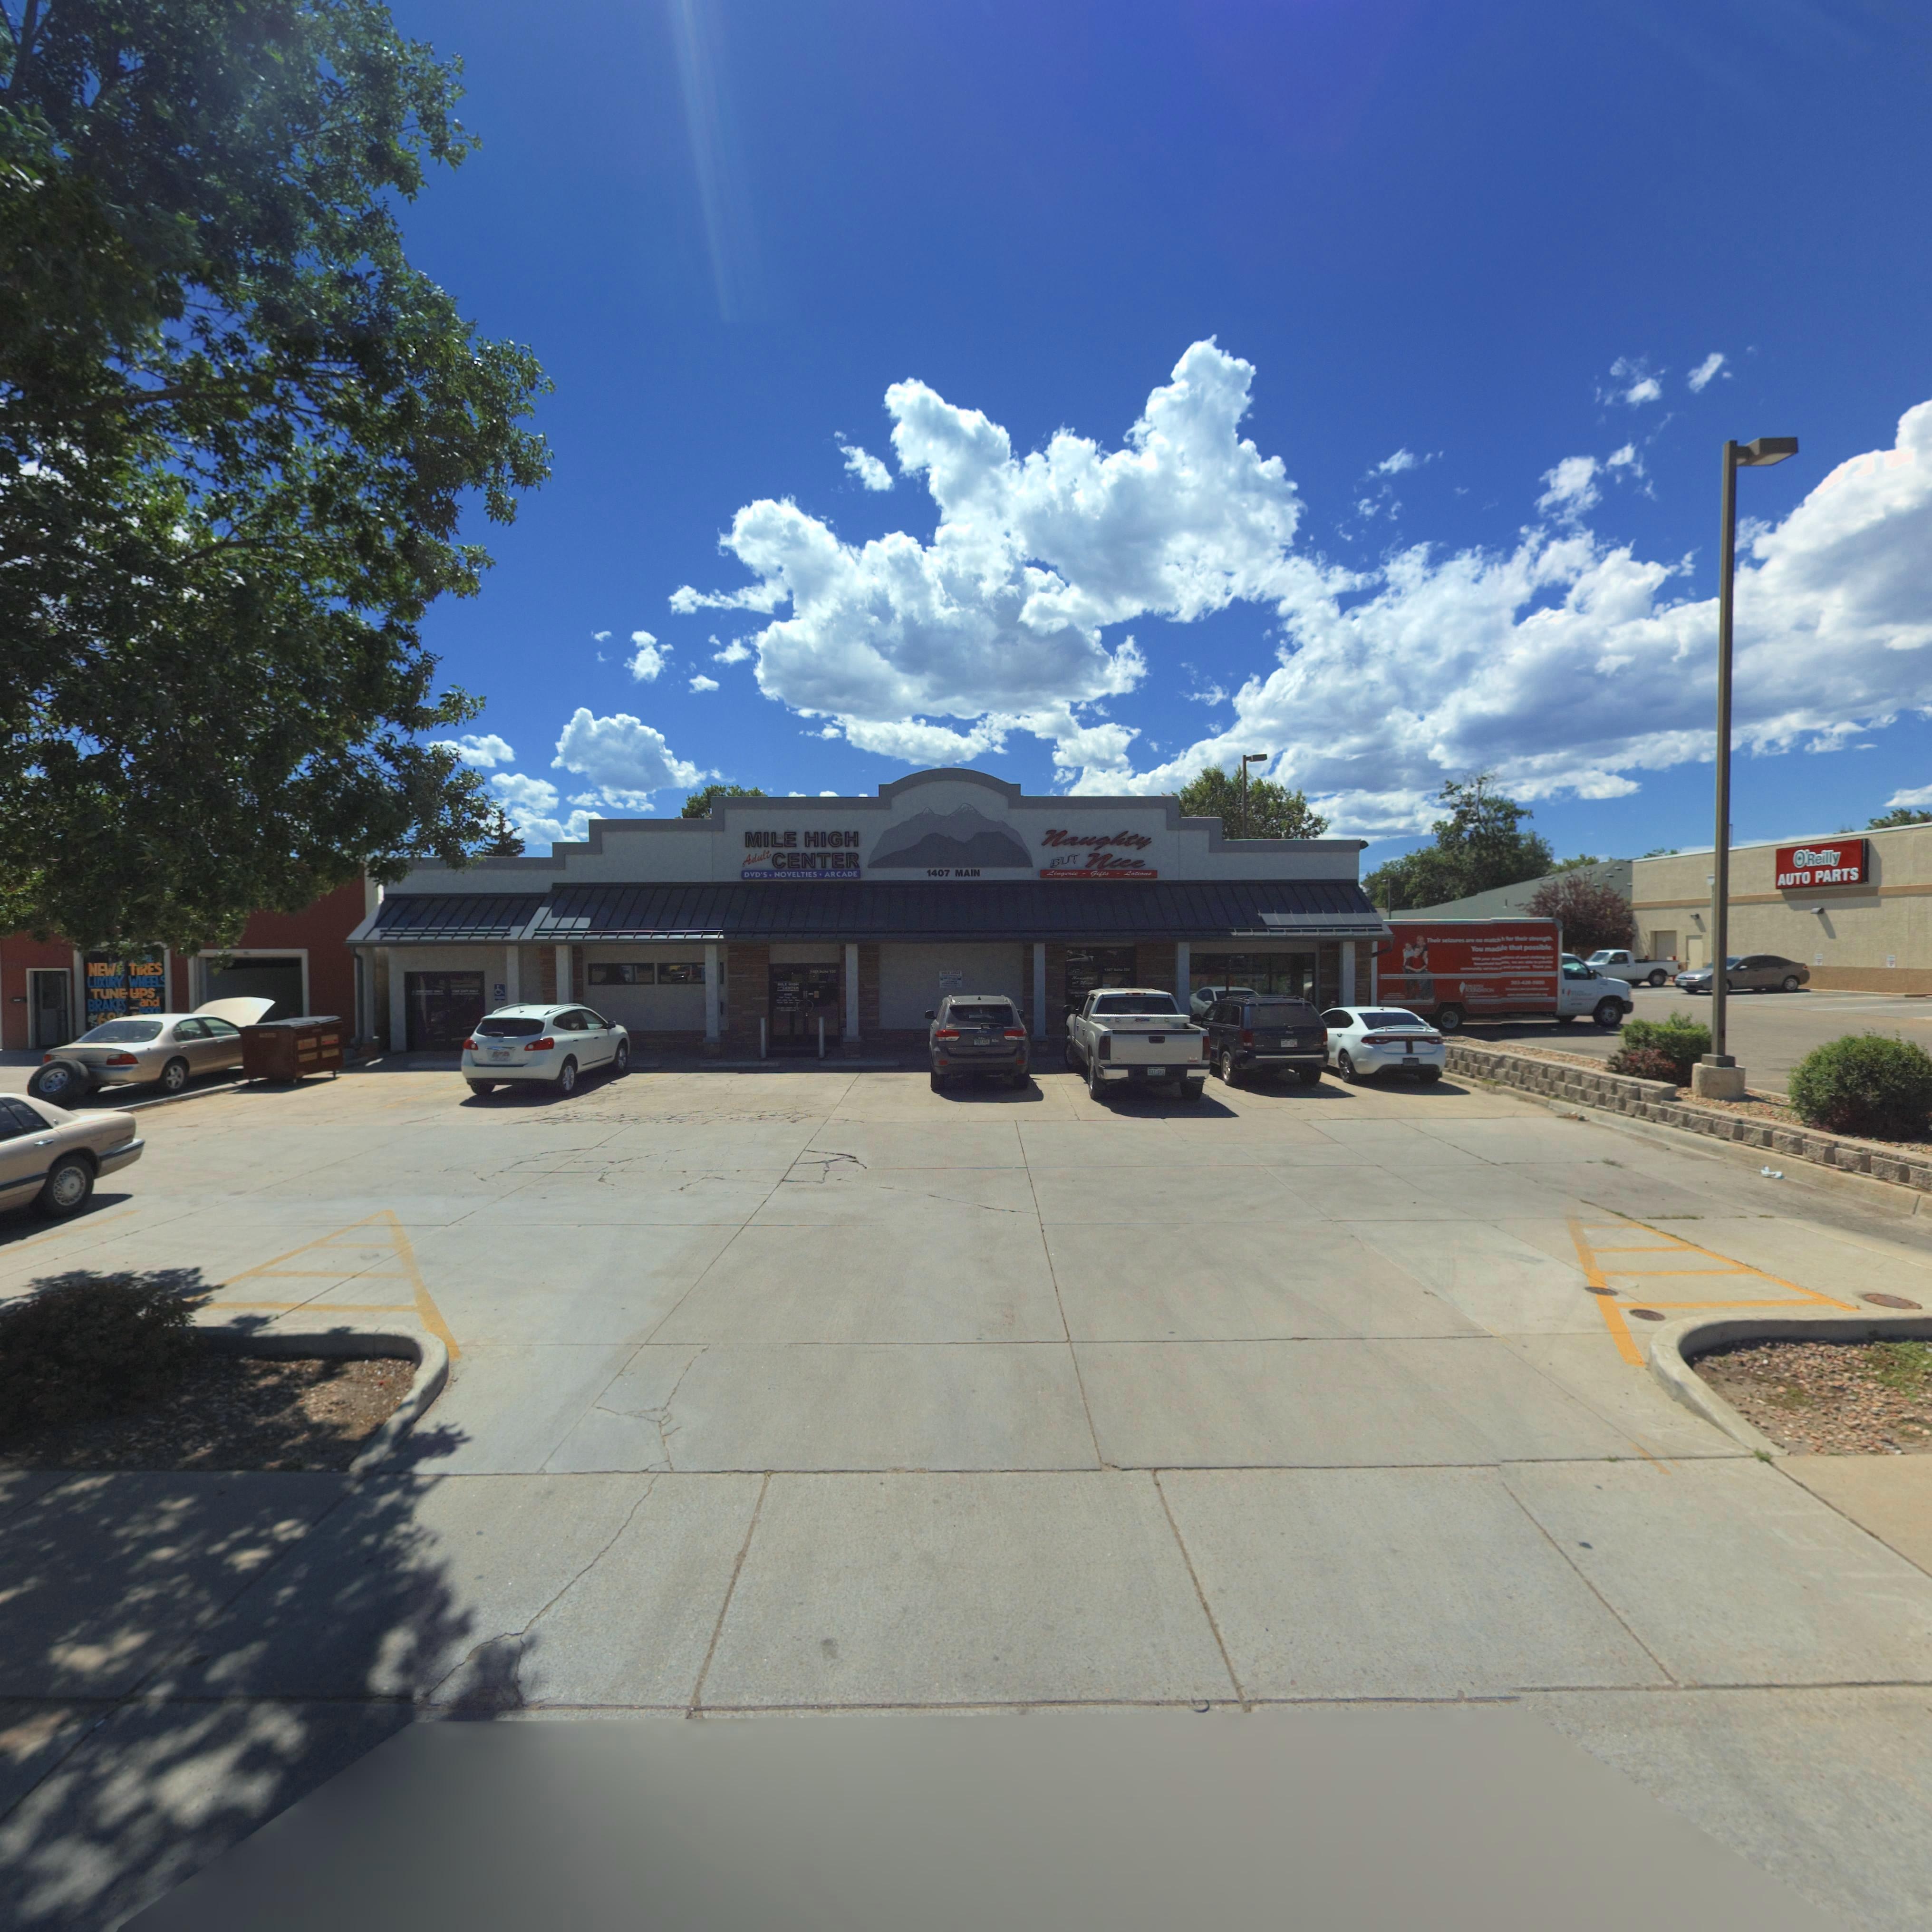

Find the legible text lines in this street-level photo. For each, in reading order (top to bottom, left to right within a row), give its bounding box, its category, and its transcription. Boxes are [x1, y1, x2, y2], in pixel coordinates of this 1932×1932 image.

[745, 831, 858, 847] BusinessName: MILE HIGH
[1041, 829, 1153, 851] BusinessName: Naughty
[743, 849, 772, 867] BusinessName: Adult
[773, 853, 859, 868] BusinessName: CENTER
[1052, 853, 1080, 868] BusinessName: BUT
[1084, 852, 1146, 869] BusinessName: Nice
[1794, 850, 1839, 866] BusinessName: O'Reilly
[926, 869, 950, 877] StreetNumber: 1407
[955, 869, 980, 877] StreetName: MAIN
[1777, 867, 1858, 886] BusinessName: AUTO PARTS
[782, 986, 799, 989] BusinessName: CENTER